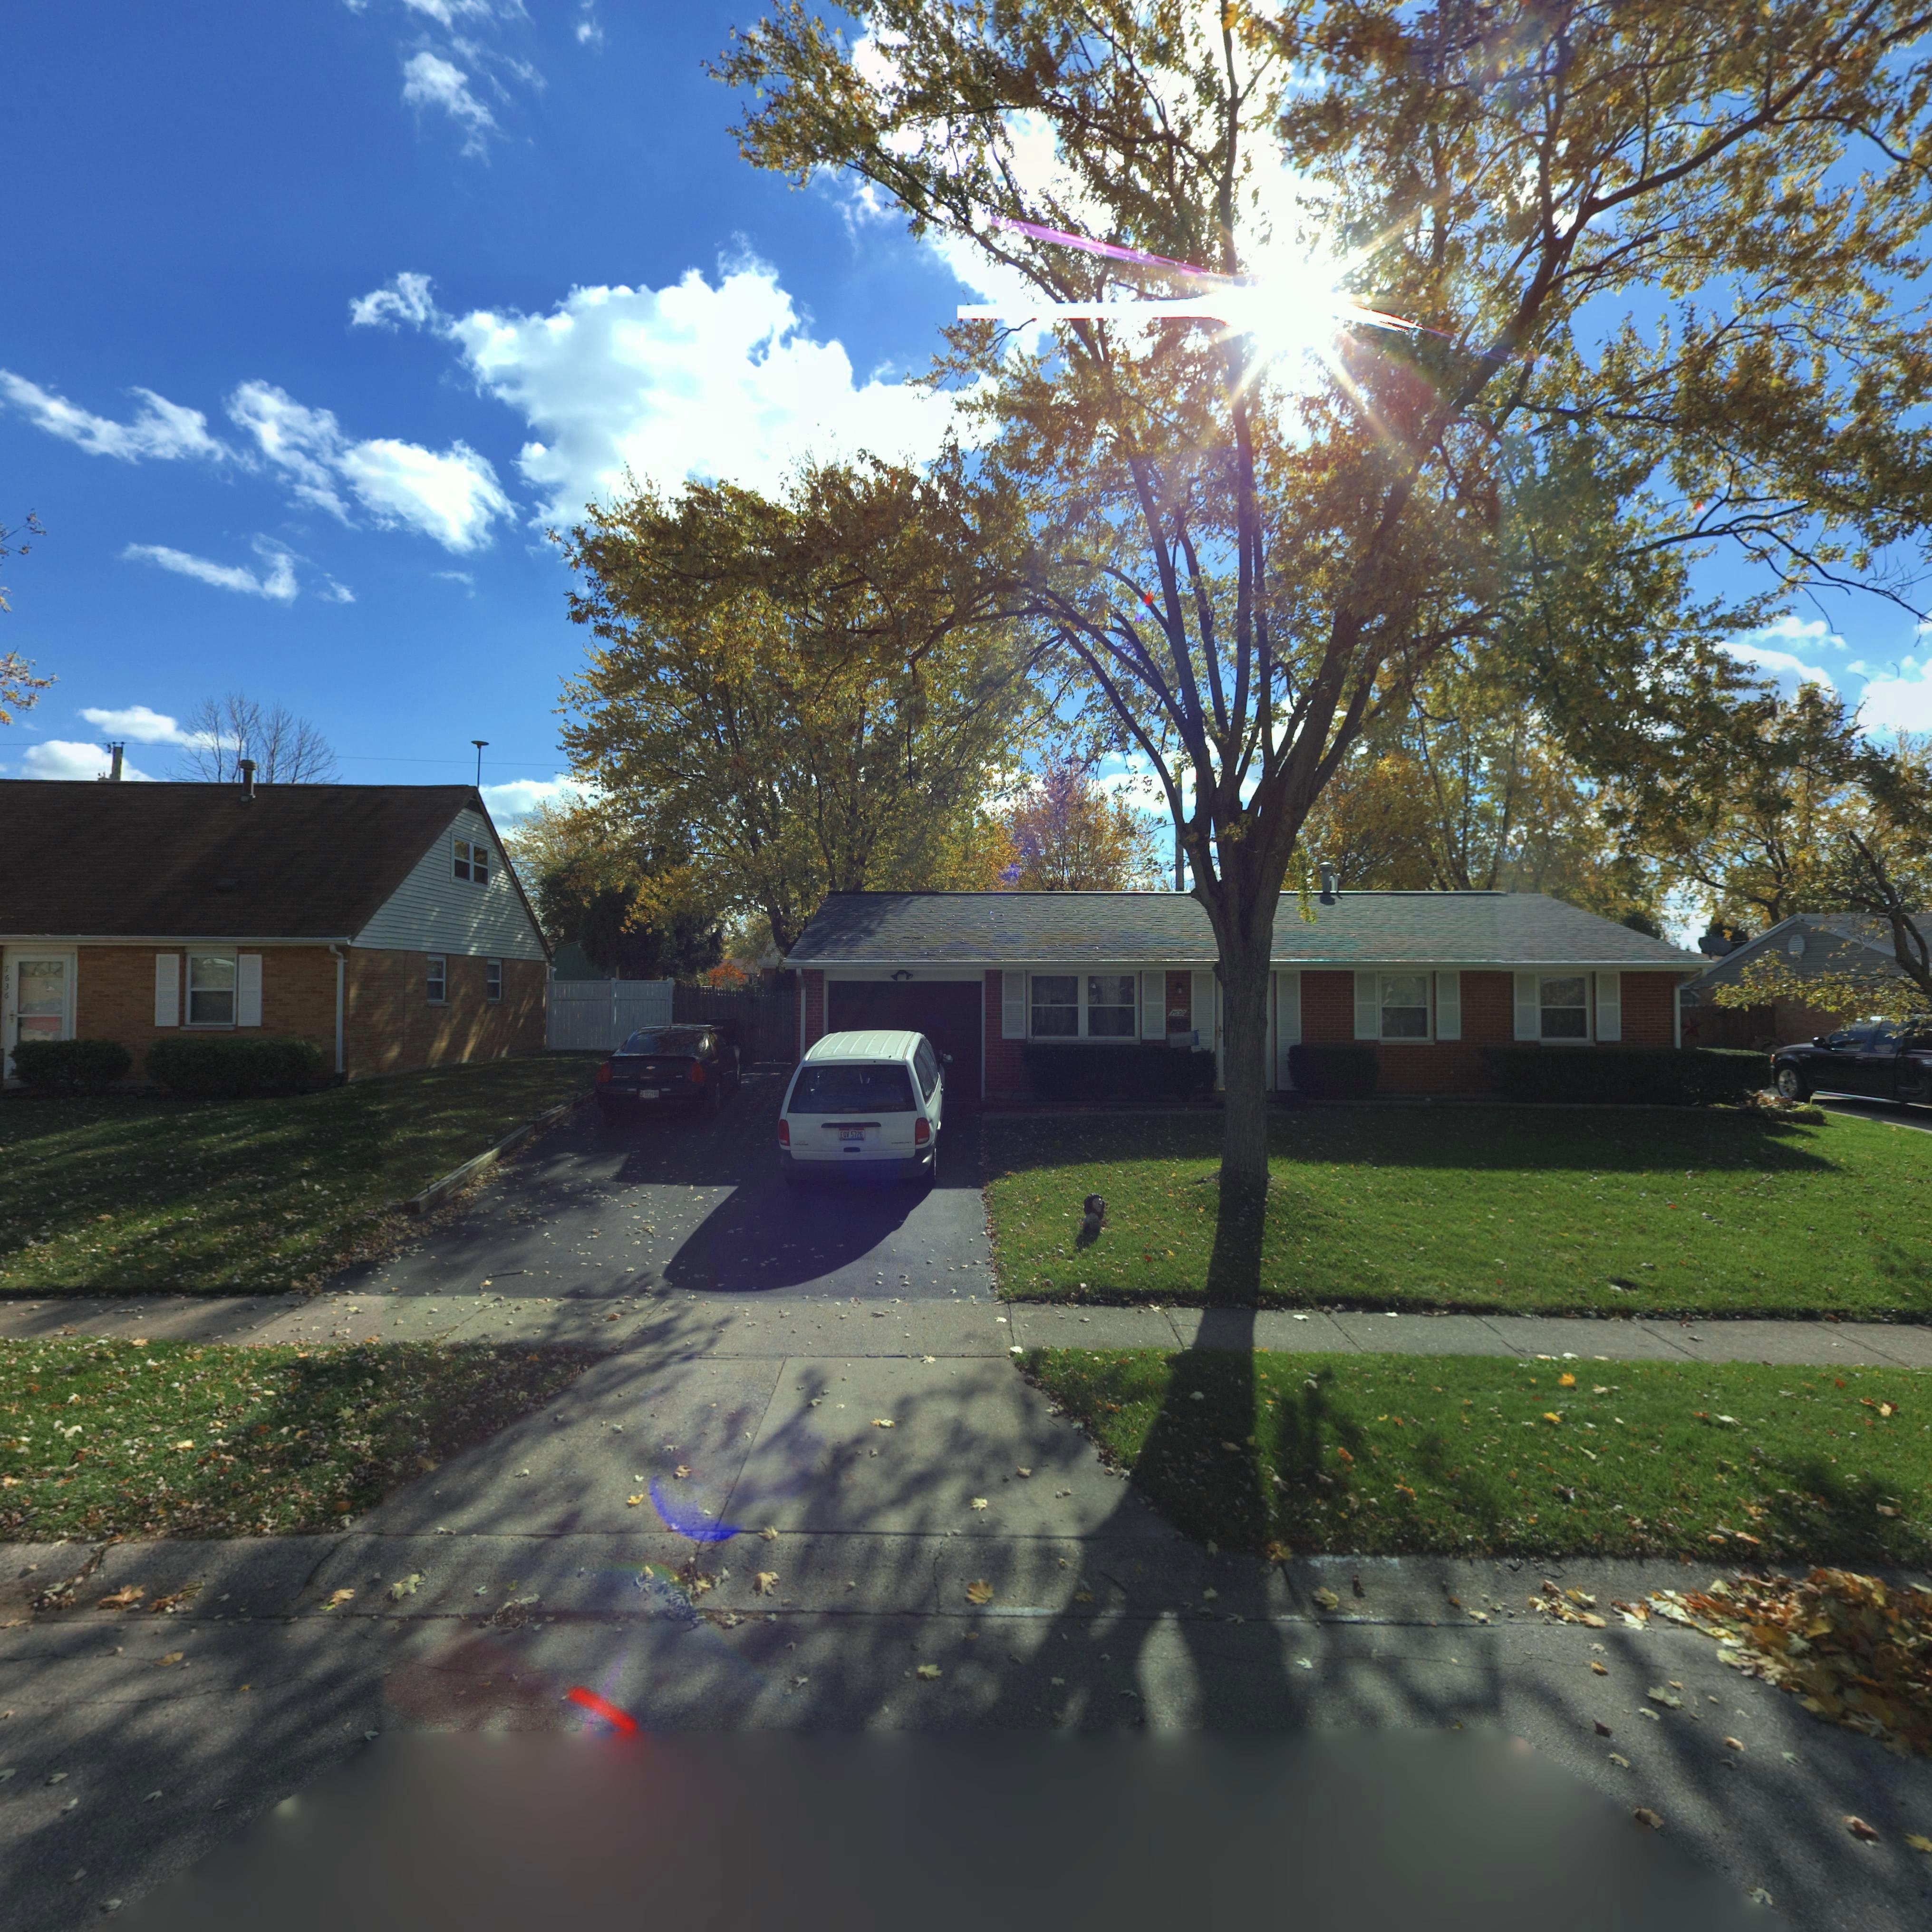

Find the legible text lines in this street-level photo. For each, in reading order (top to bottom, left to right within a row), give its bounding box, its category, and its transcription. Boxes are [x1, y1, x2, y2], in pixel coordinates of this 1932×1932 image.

[3, 965, 10, 999] StreetNumber: 7636
[1170, 1009, 1188, 1016] StreetNumber: 7630